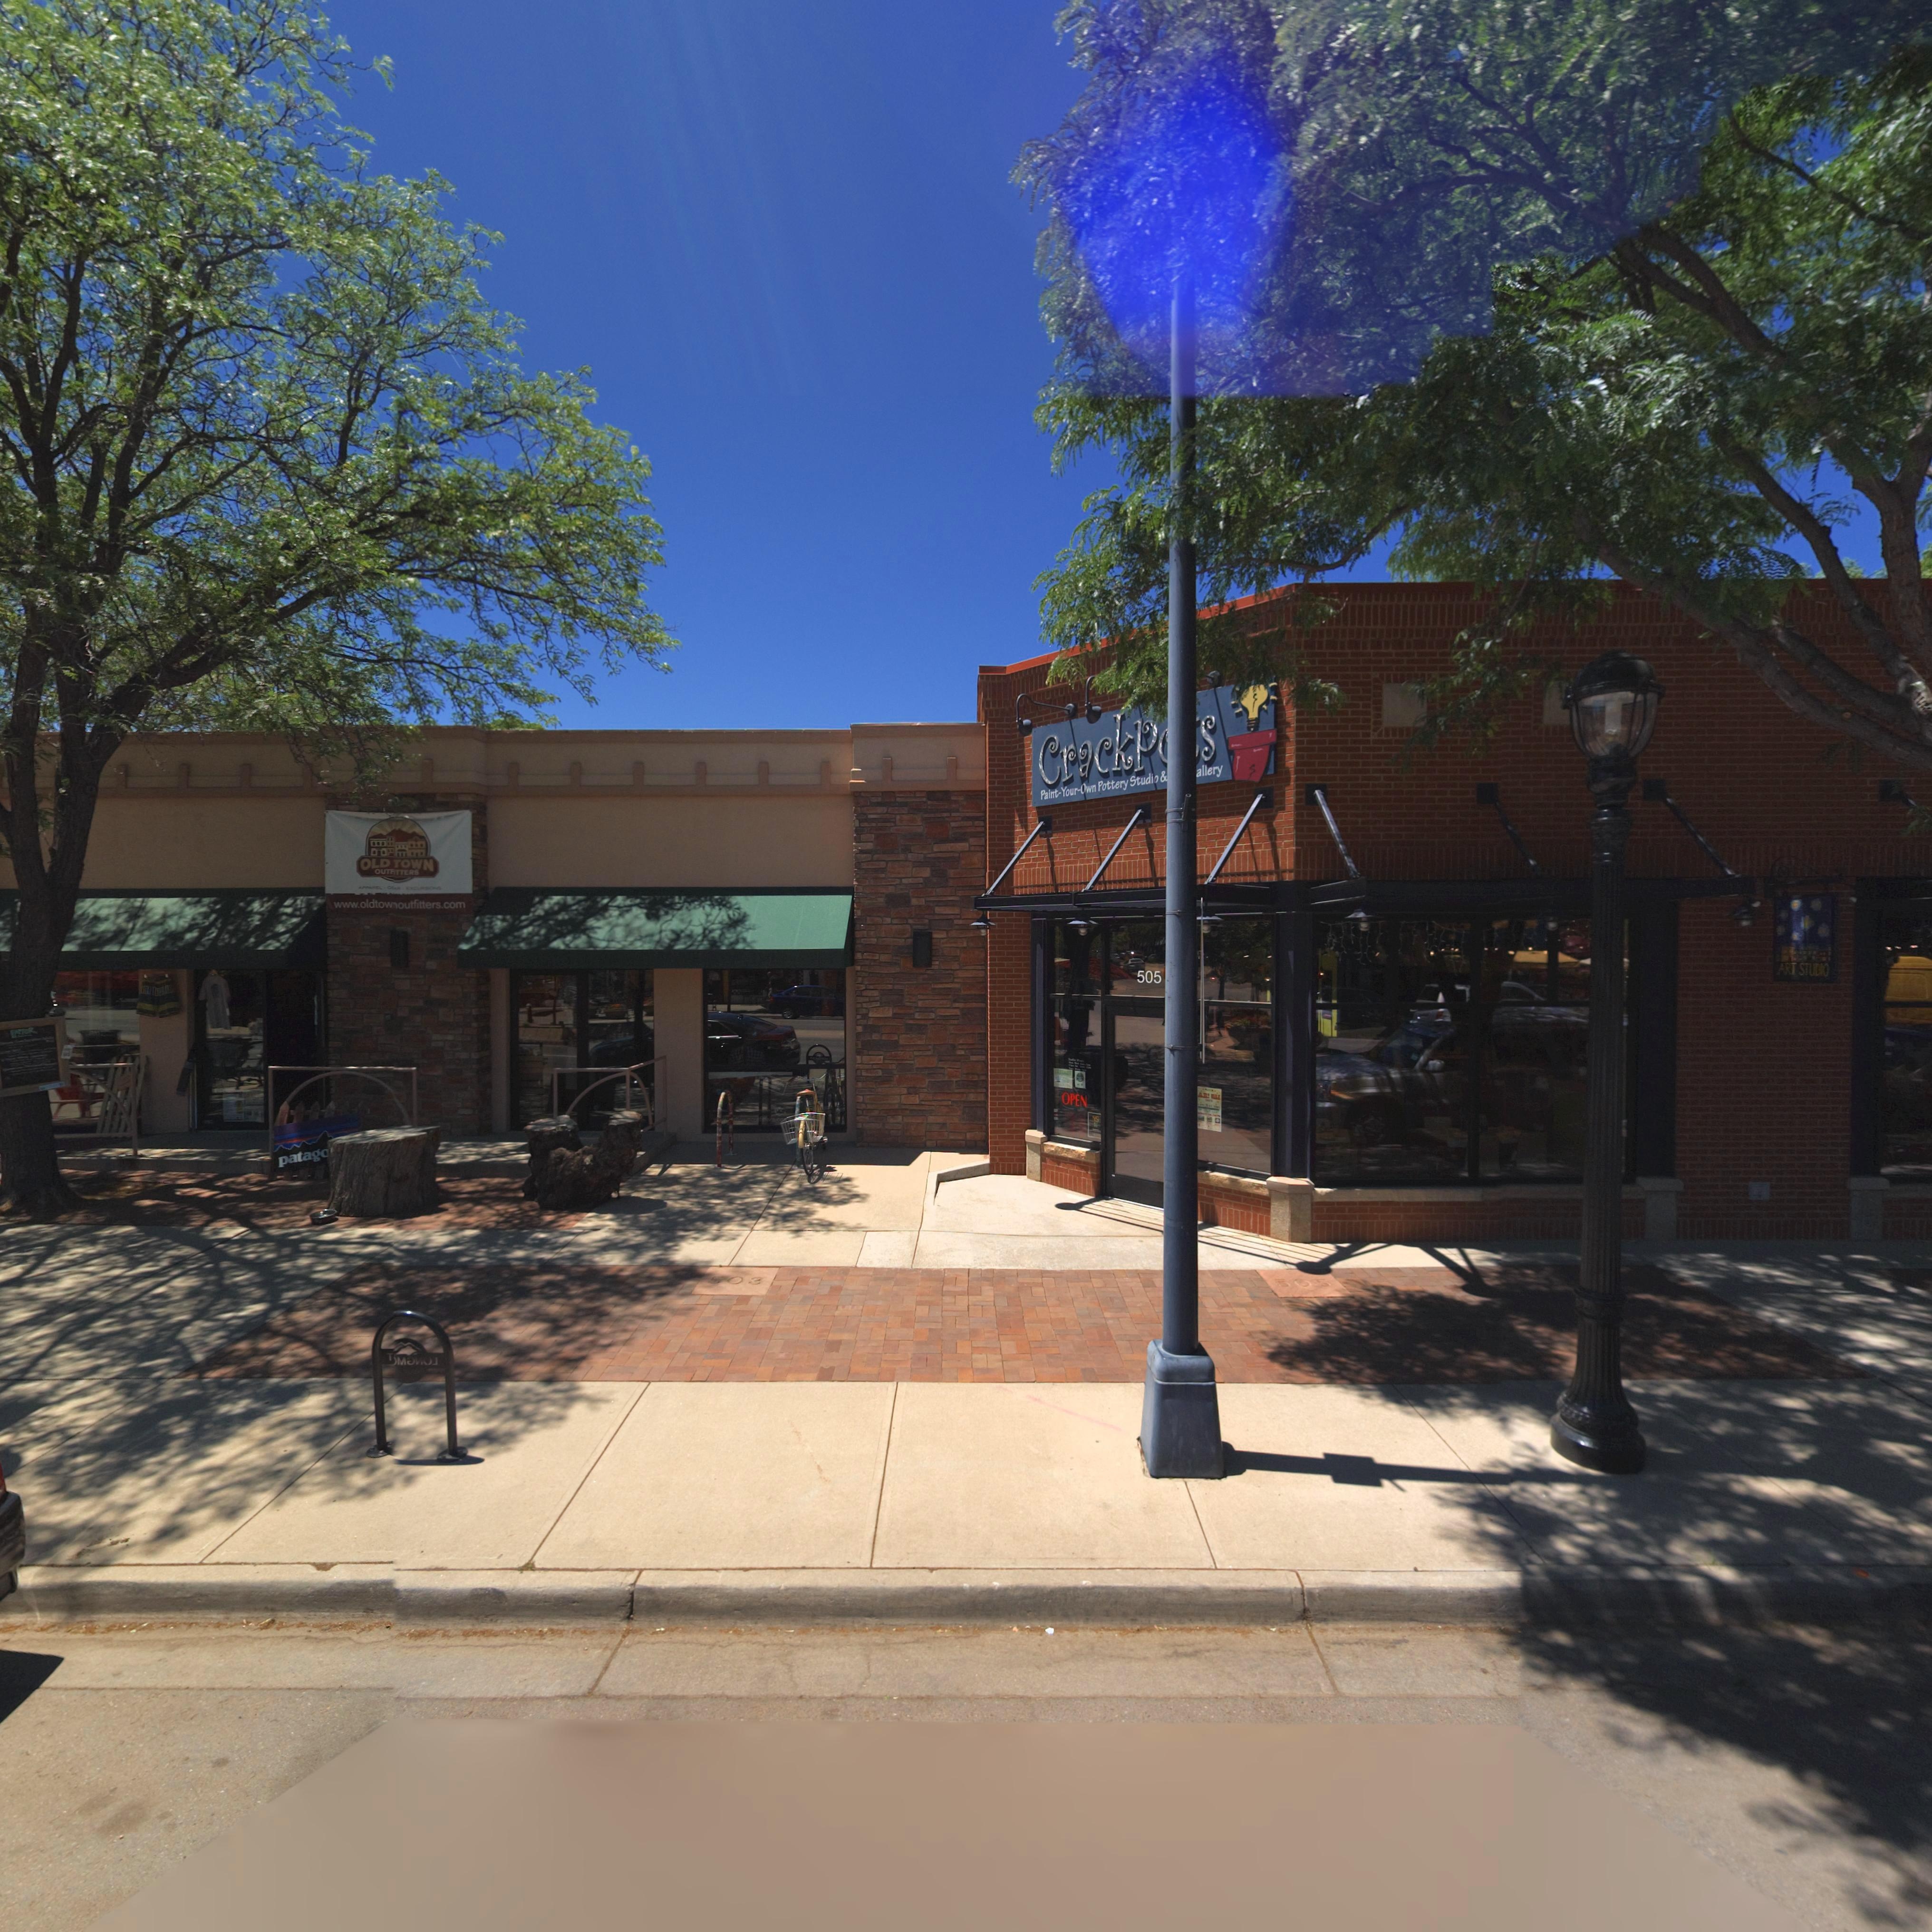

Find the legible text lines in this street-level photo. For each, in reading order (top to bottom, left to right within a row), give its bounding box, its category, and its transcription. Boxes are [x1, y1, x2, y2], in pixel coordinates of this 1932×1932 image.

[1037, 711, 1217, 786] StreetName: Crackp**s
[374, 868, 419, 876] BusinessName: OUTFITTERS
[359, 858, 435, 872] BusinessName: OLD TOWN
[1136, 969, 1162, 985] StreetNumber: 505